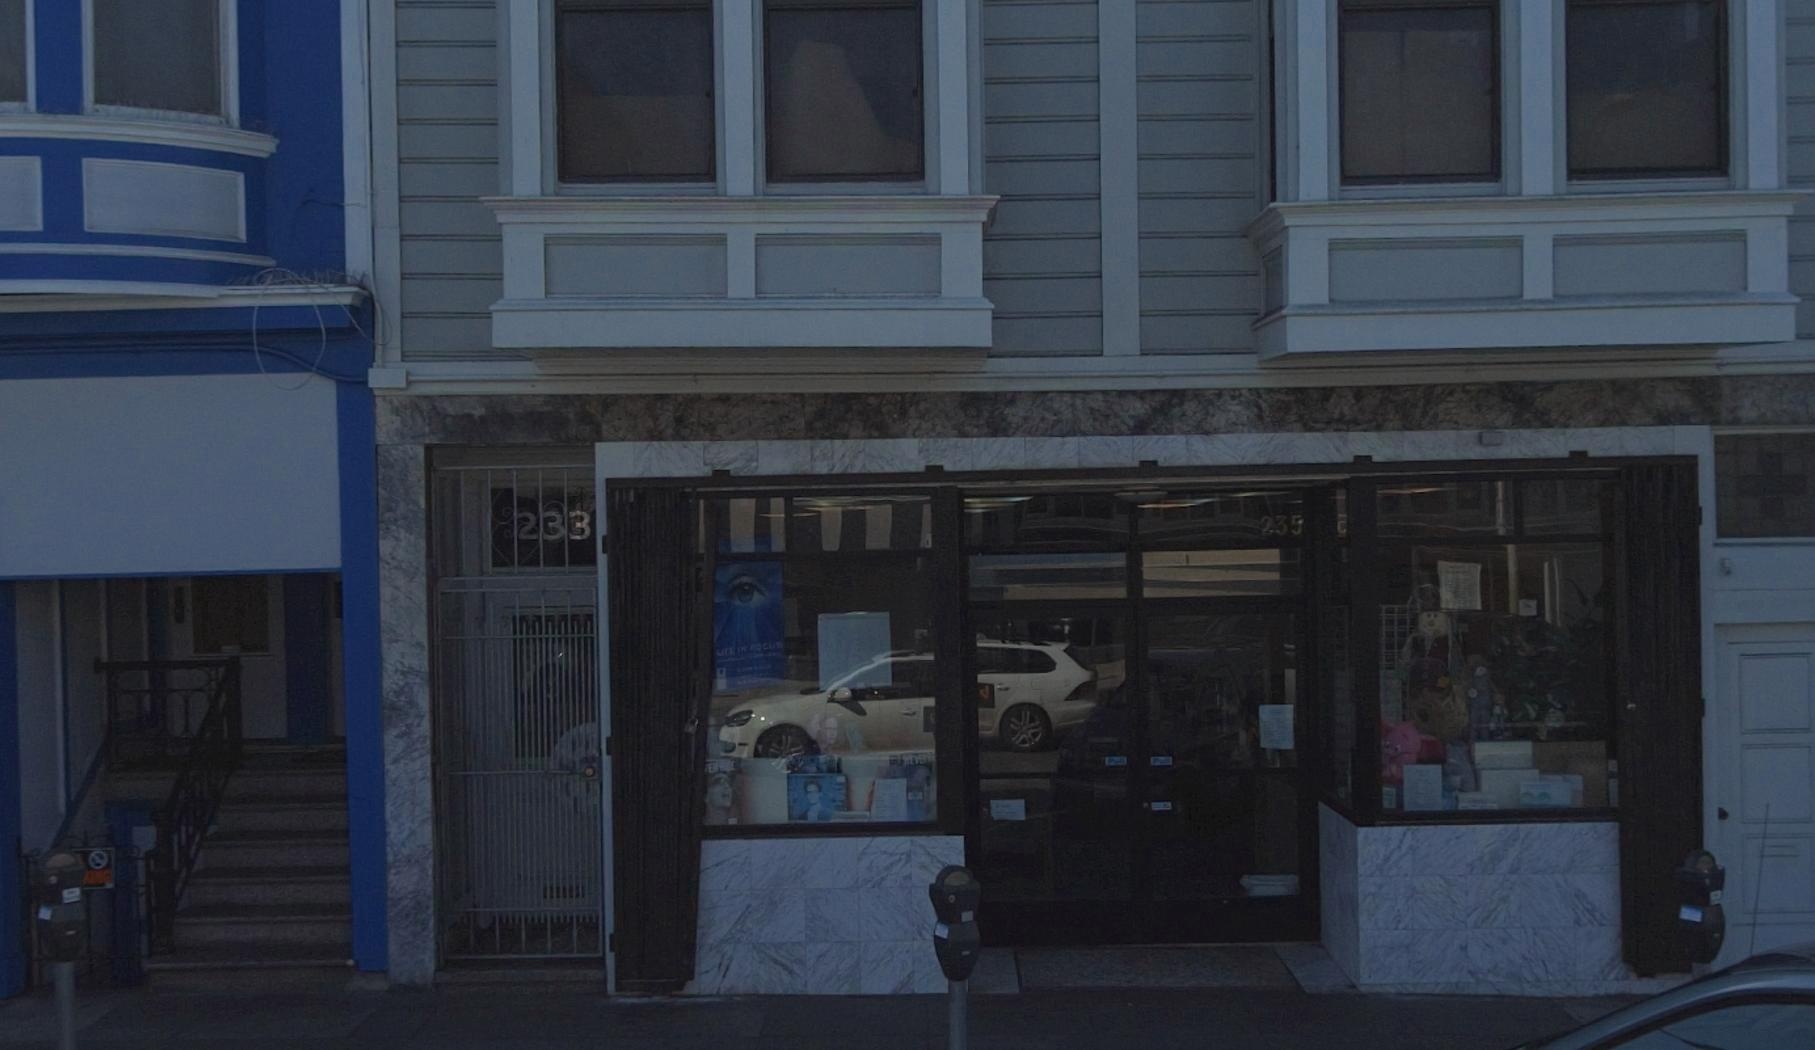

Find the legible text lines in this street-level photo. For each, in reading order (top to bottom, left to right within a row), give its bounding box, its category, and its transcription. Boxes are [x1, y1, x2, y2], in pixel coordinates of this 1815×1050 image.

[513, 509, 595, 542] StreetNumber: 233
[1259, 512, 1304, 538] StreetNumber: 235